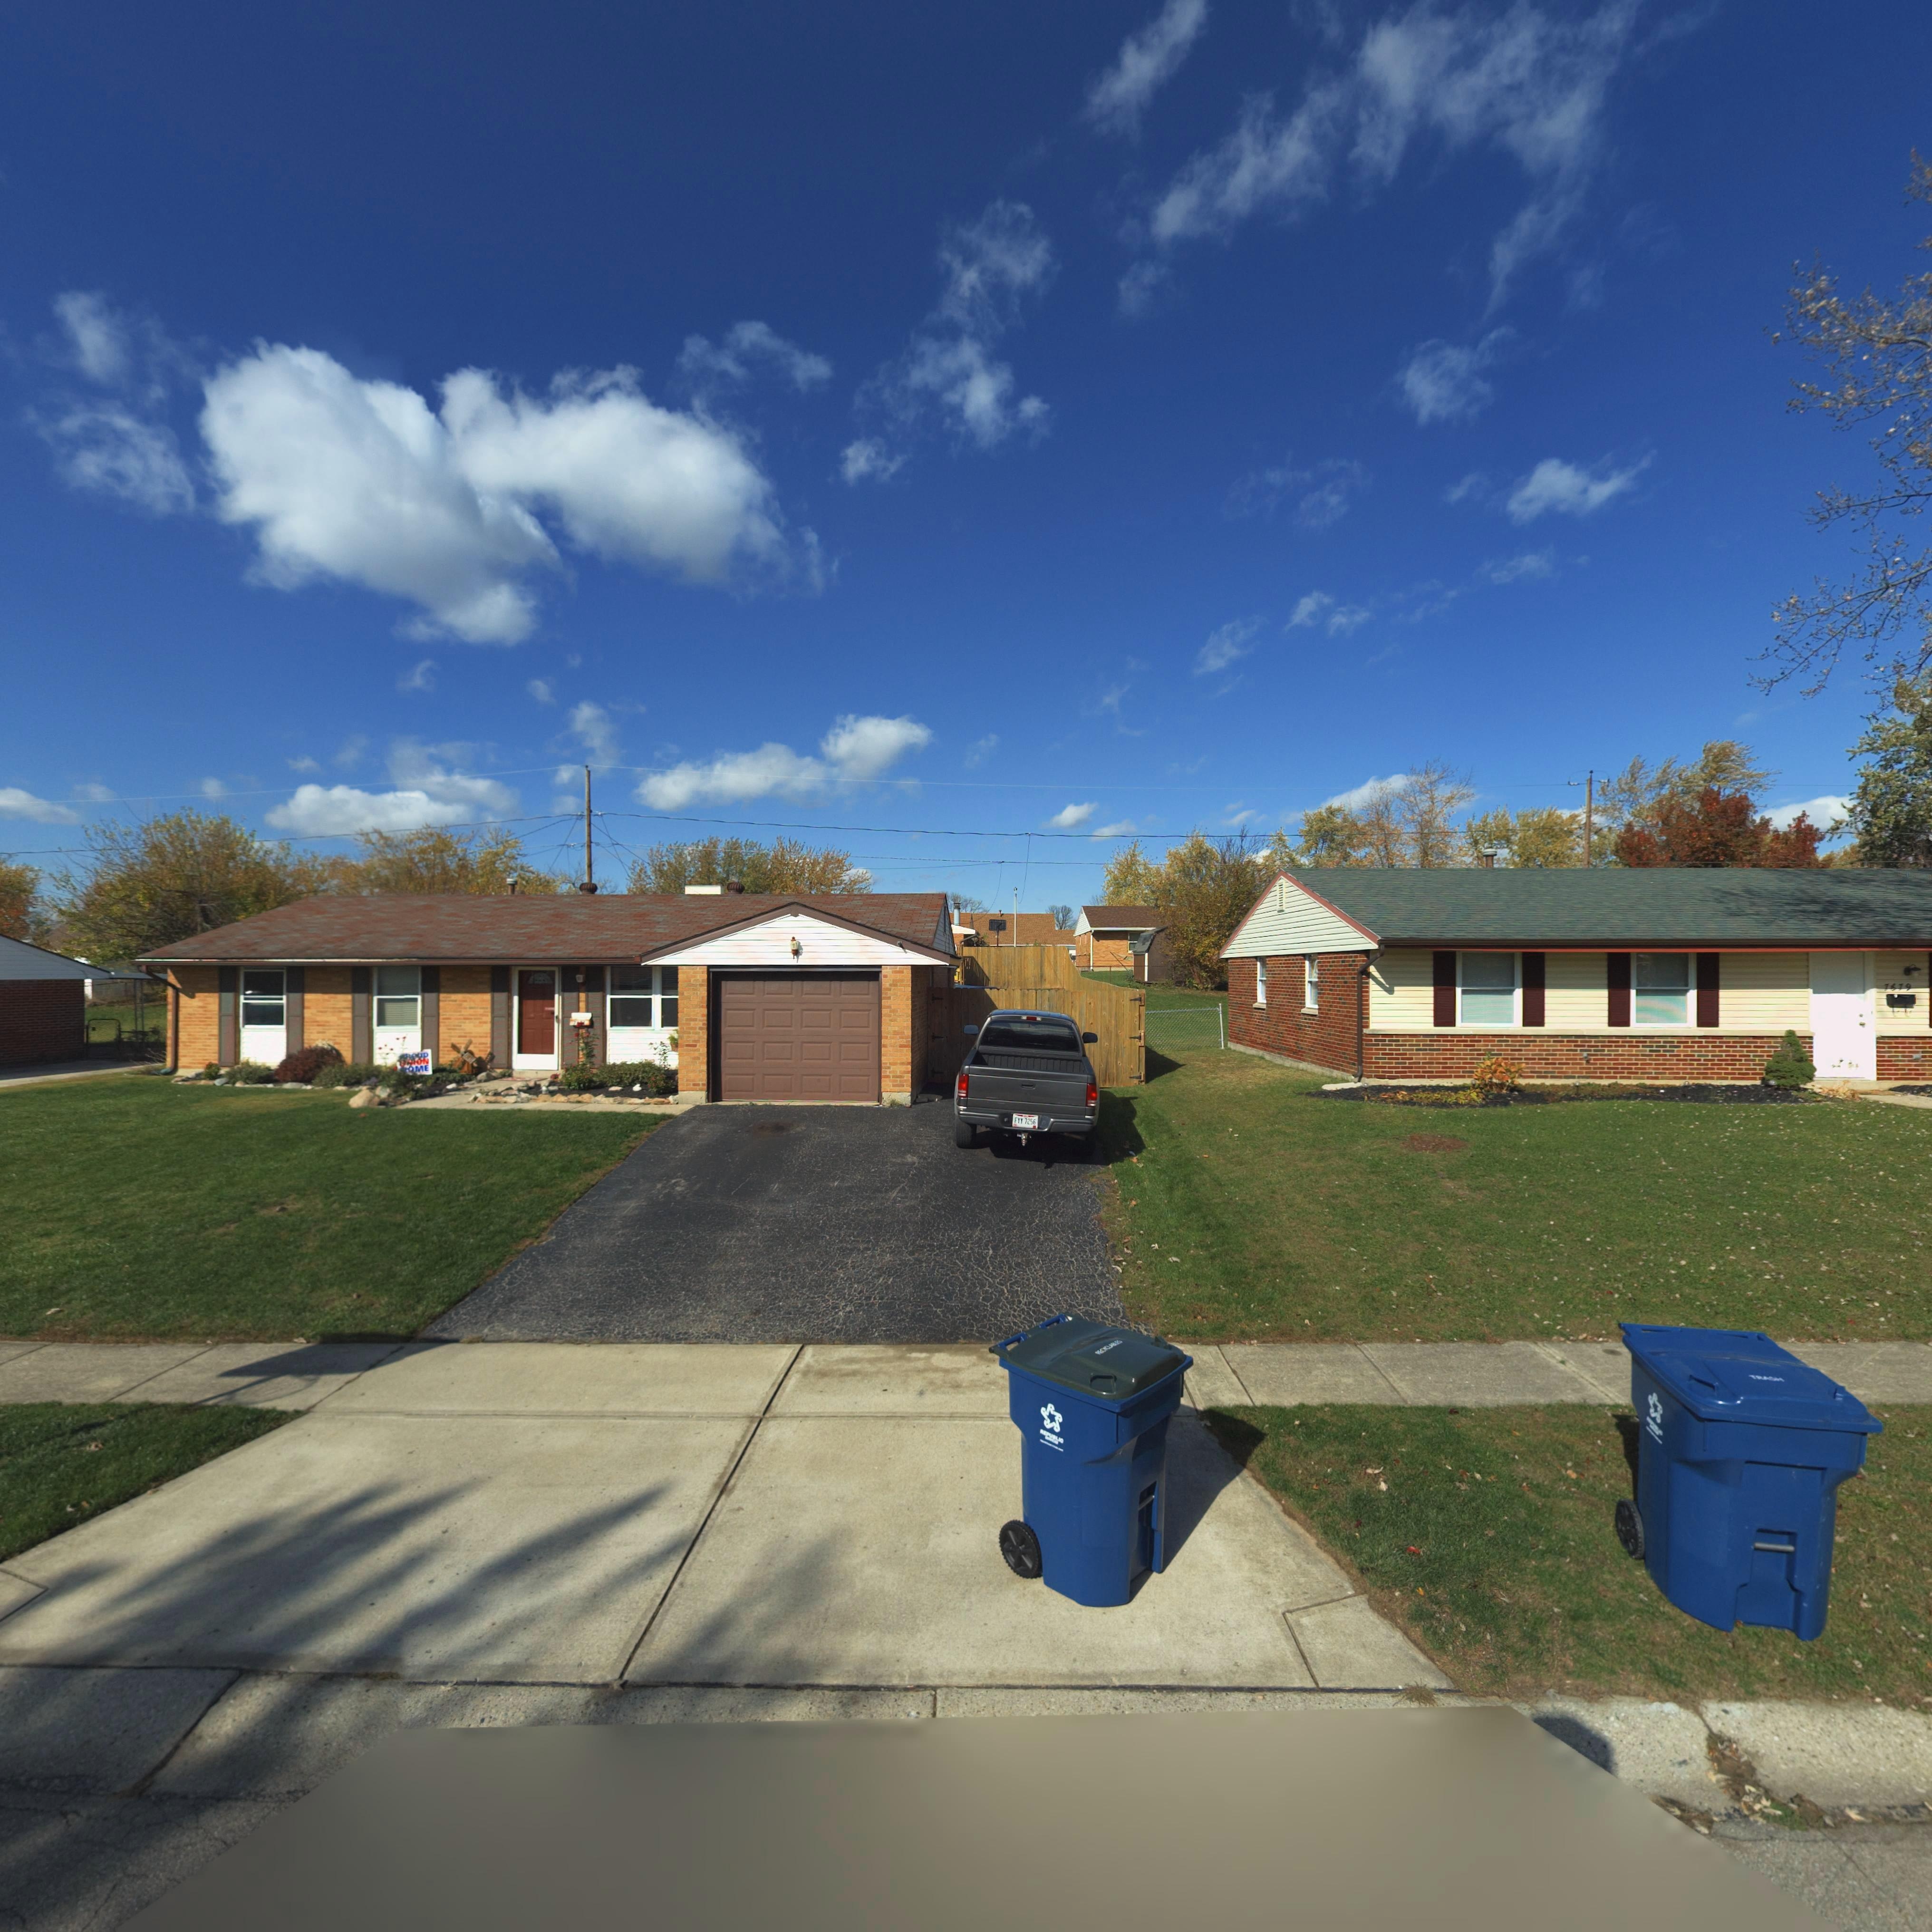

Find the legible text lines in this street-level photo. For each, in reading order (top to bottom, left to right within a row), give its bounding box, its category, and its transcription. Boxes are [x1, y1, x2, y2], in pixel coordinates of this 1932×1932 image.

[1884, 983, 1912, 991] StreetNumber: 7679
[572, 1020, 576, 1025] StreetNumber: 7